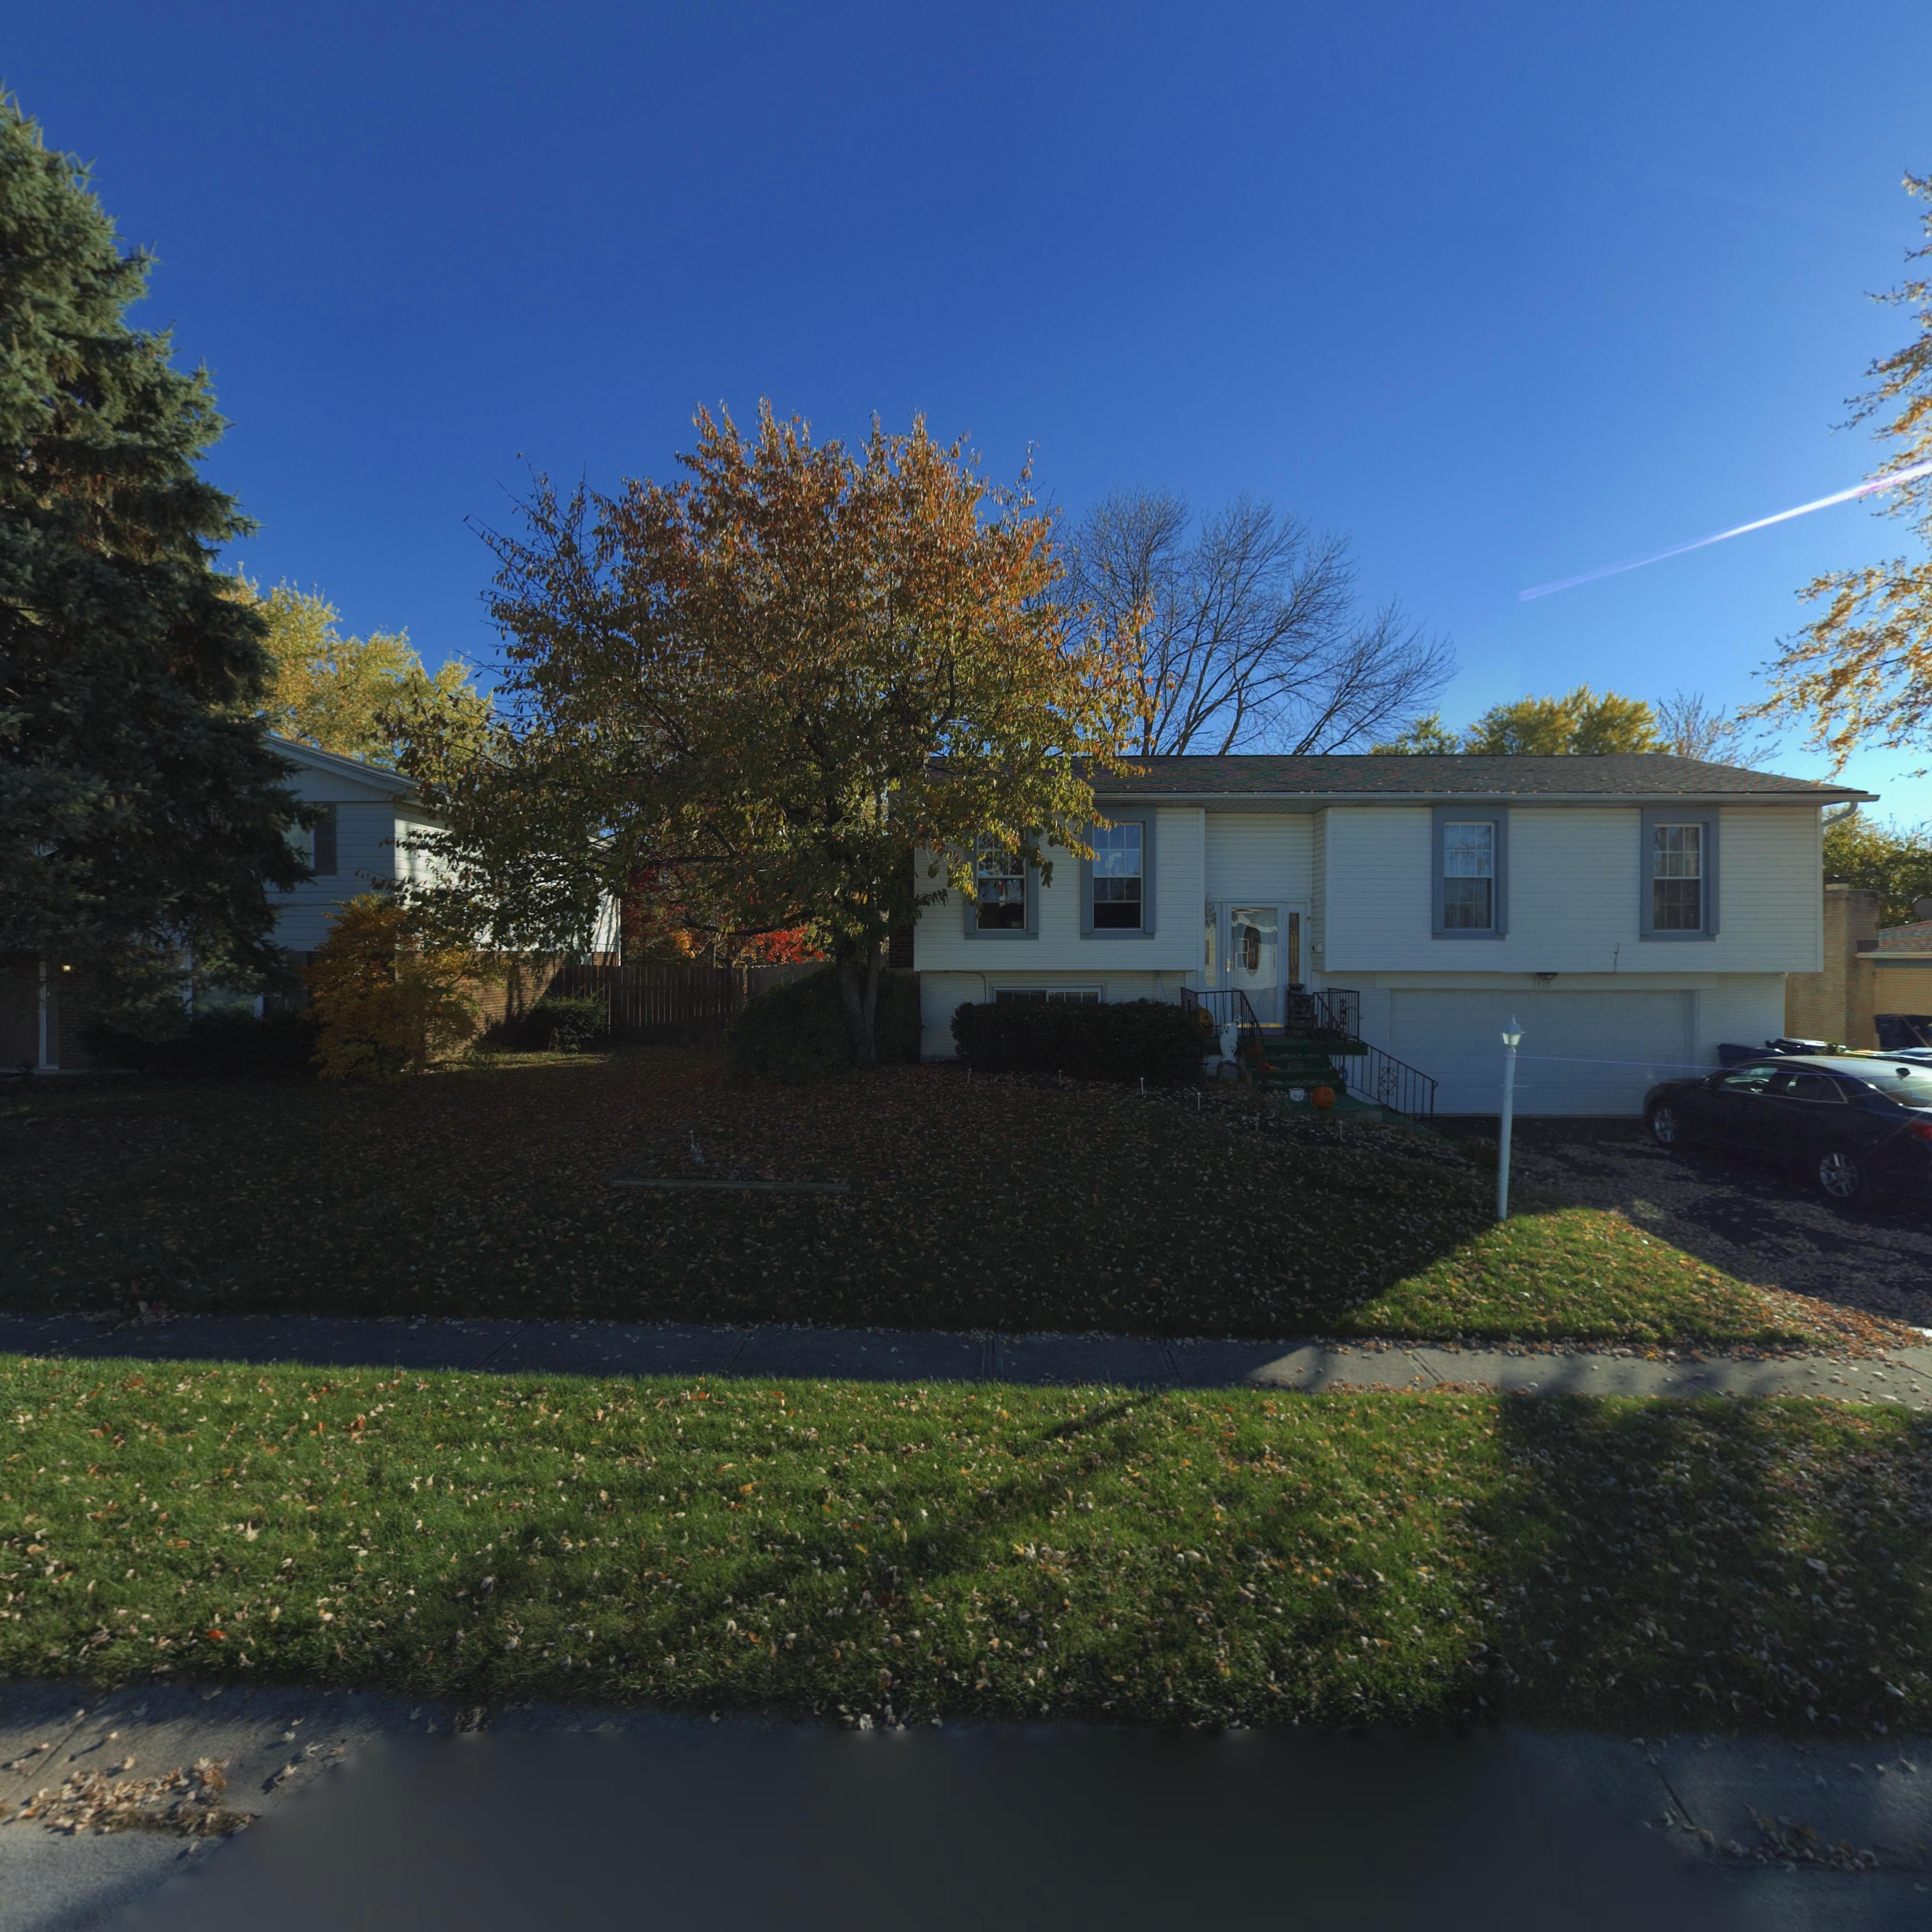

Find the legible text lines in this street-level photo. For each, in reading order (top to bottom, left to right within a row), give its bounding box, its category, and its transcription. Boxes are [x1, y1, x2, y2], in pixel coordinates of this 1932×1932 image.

[1532, 978, 1551, 987] StreetNumber: 50*0